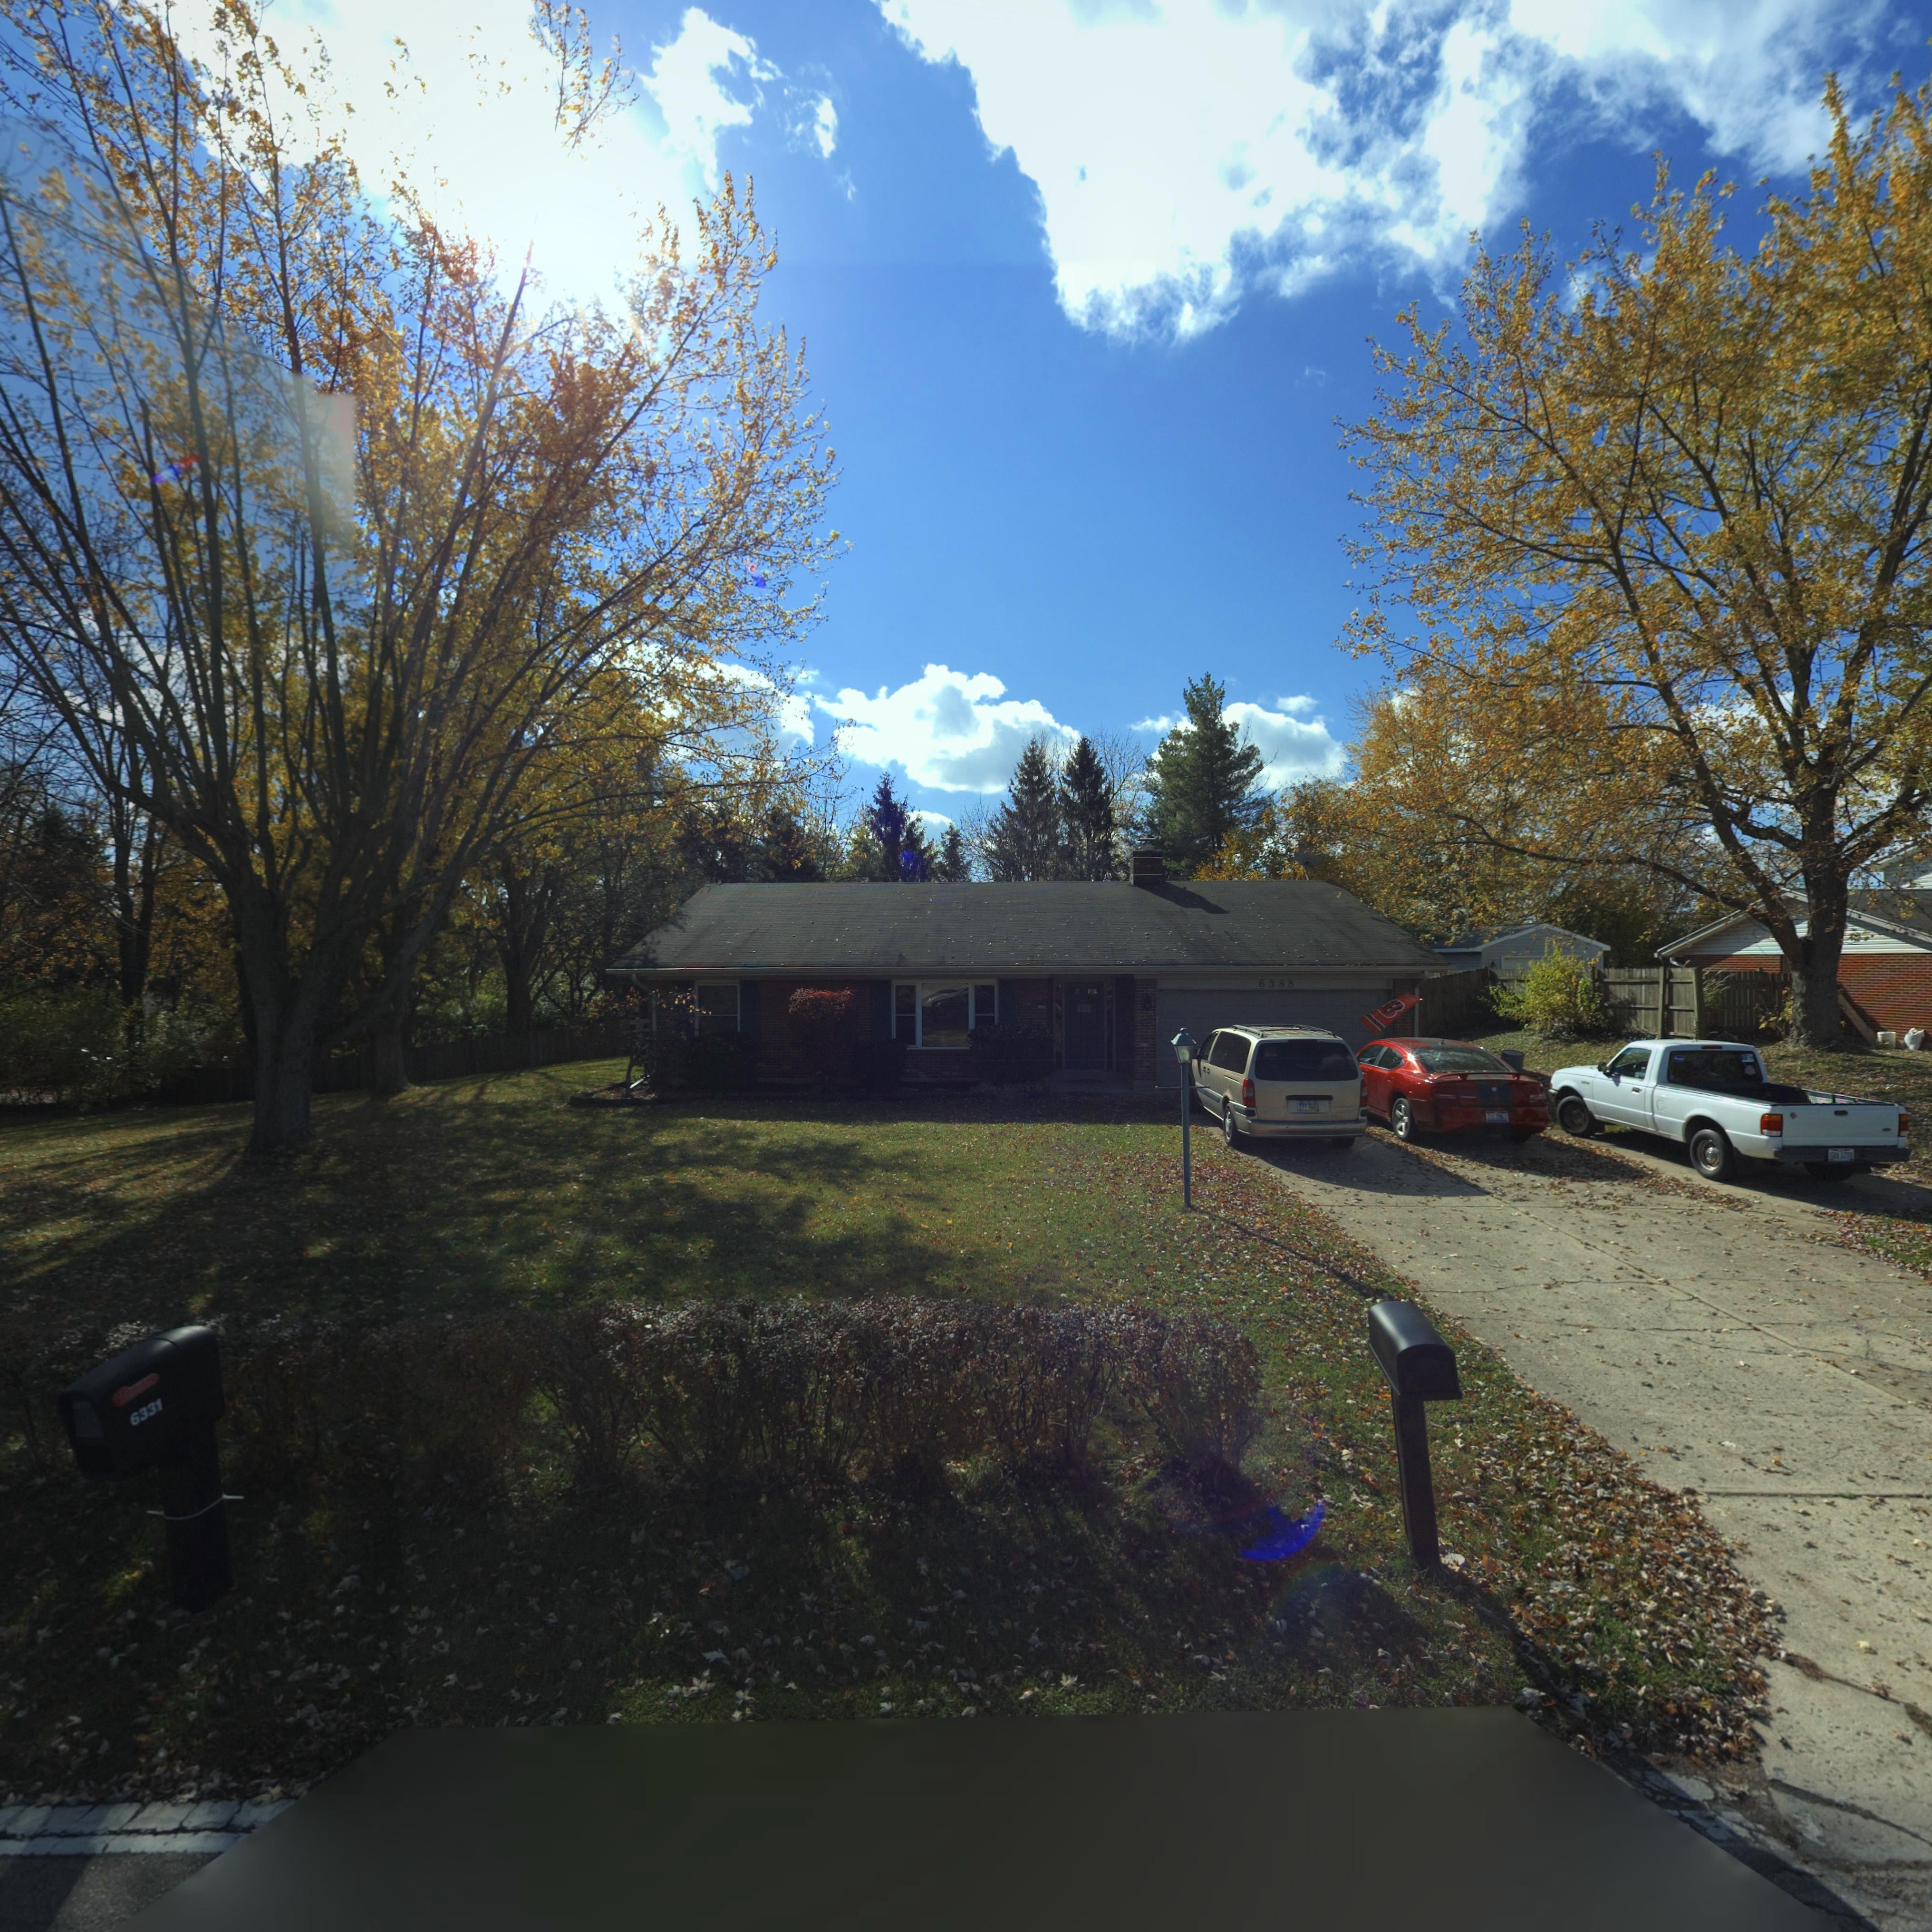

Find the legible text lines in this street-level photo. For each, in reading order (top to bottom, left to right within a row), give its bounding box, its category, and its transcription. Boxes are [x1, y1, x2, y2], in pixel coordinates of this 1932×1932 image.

[1258, 979, 1294, 988] StreetNumber: 6388
[128, 1396, 164, 1427] StreetNumber: 6331